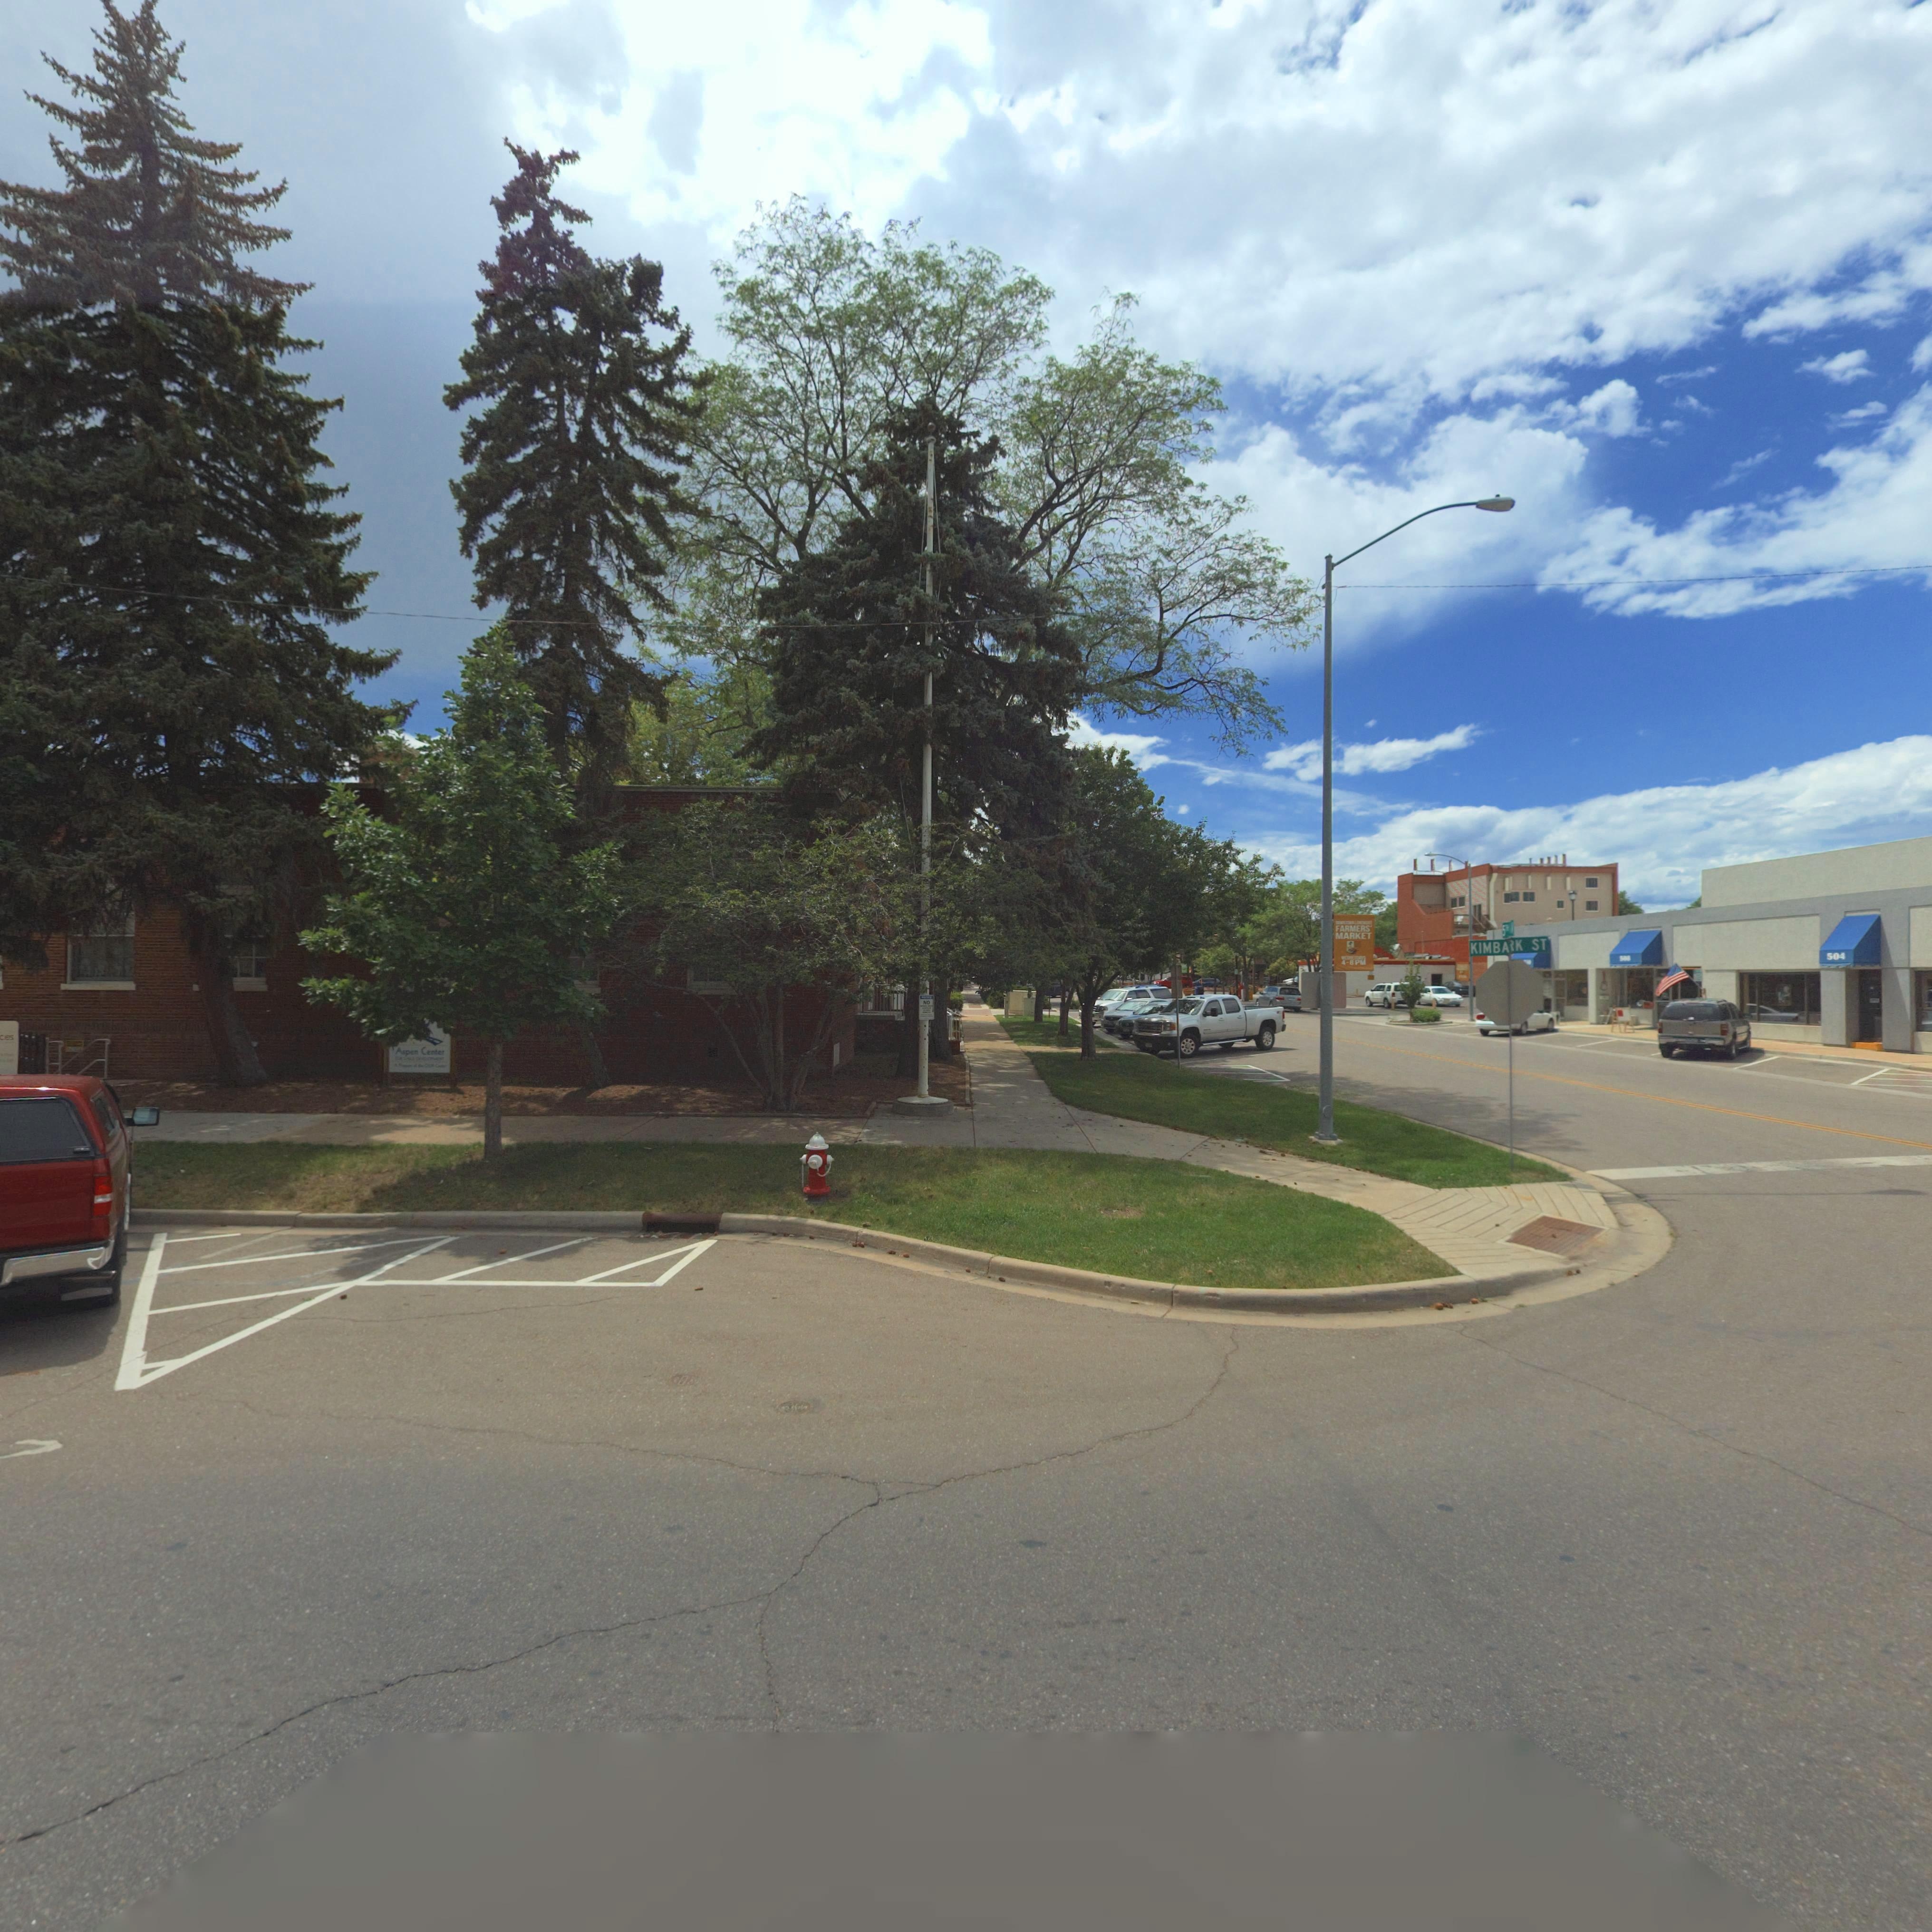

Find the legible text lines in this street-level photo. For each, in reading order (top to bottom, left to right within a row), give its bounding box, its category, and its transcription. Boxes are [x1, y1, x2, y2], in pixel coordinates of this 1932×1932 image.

[1501, 923, 1509, 937] StreetName: 5TH
[1470, 938, 1547, 954] BusinessName: KIMBA*K ST
[1618, 955, 1631, 962] StreetNumber: 508
[1826, 952, 1846, 960] StreetNumber: 504
[4, 1034, 14, 1040] BusinessName: es
[394, 1046, 445, 1057] BusinessName: Aspen Center